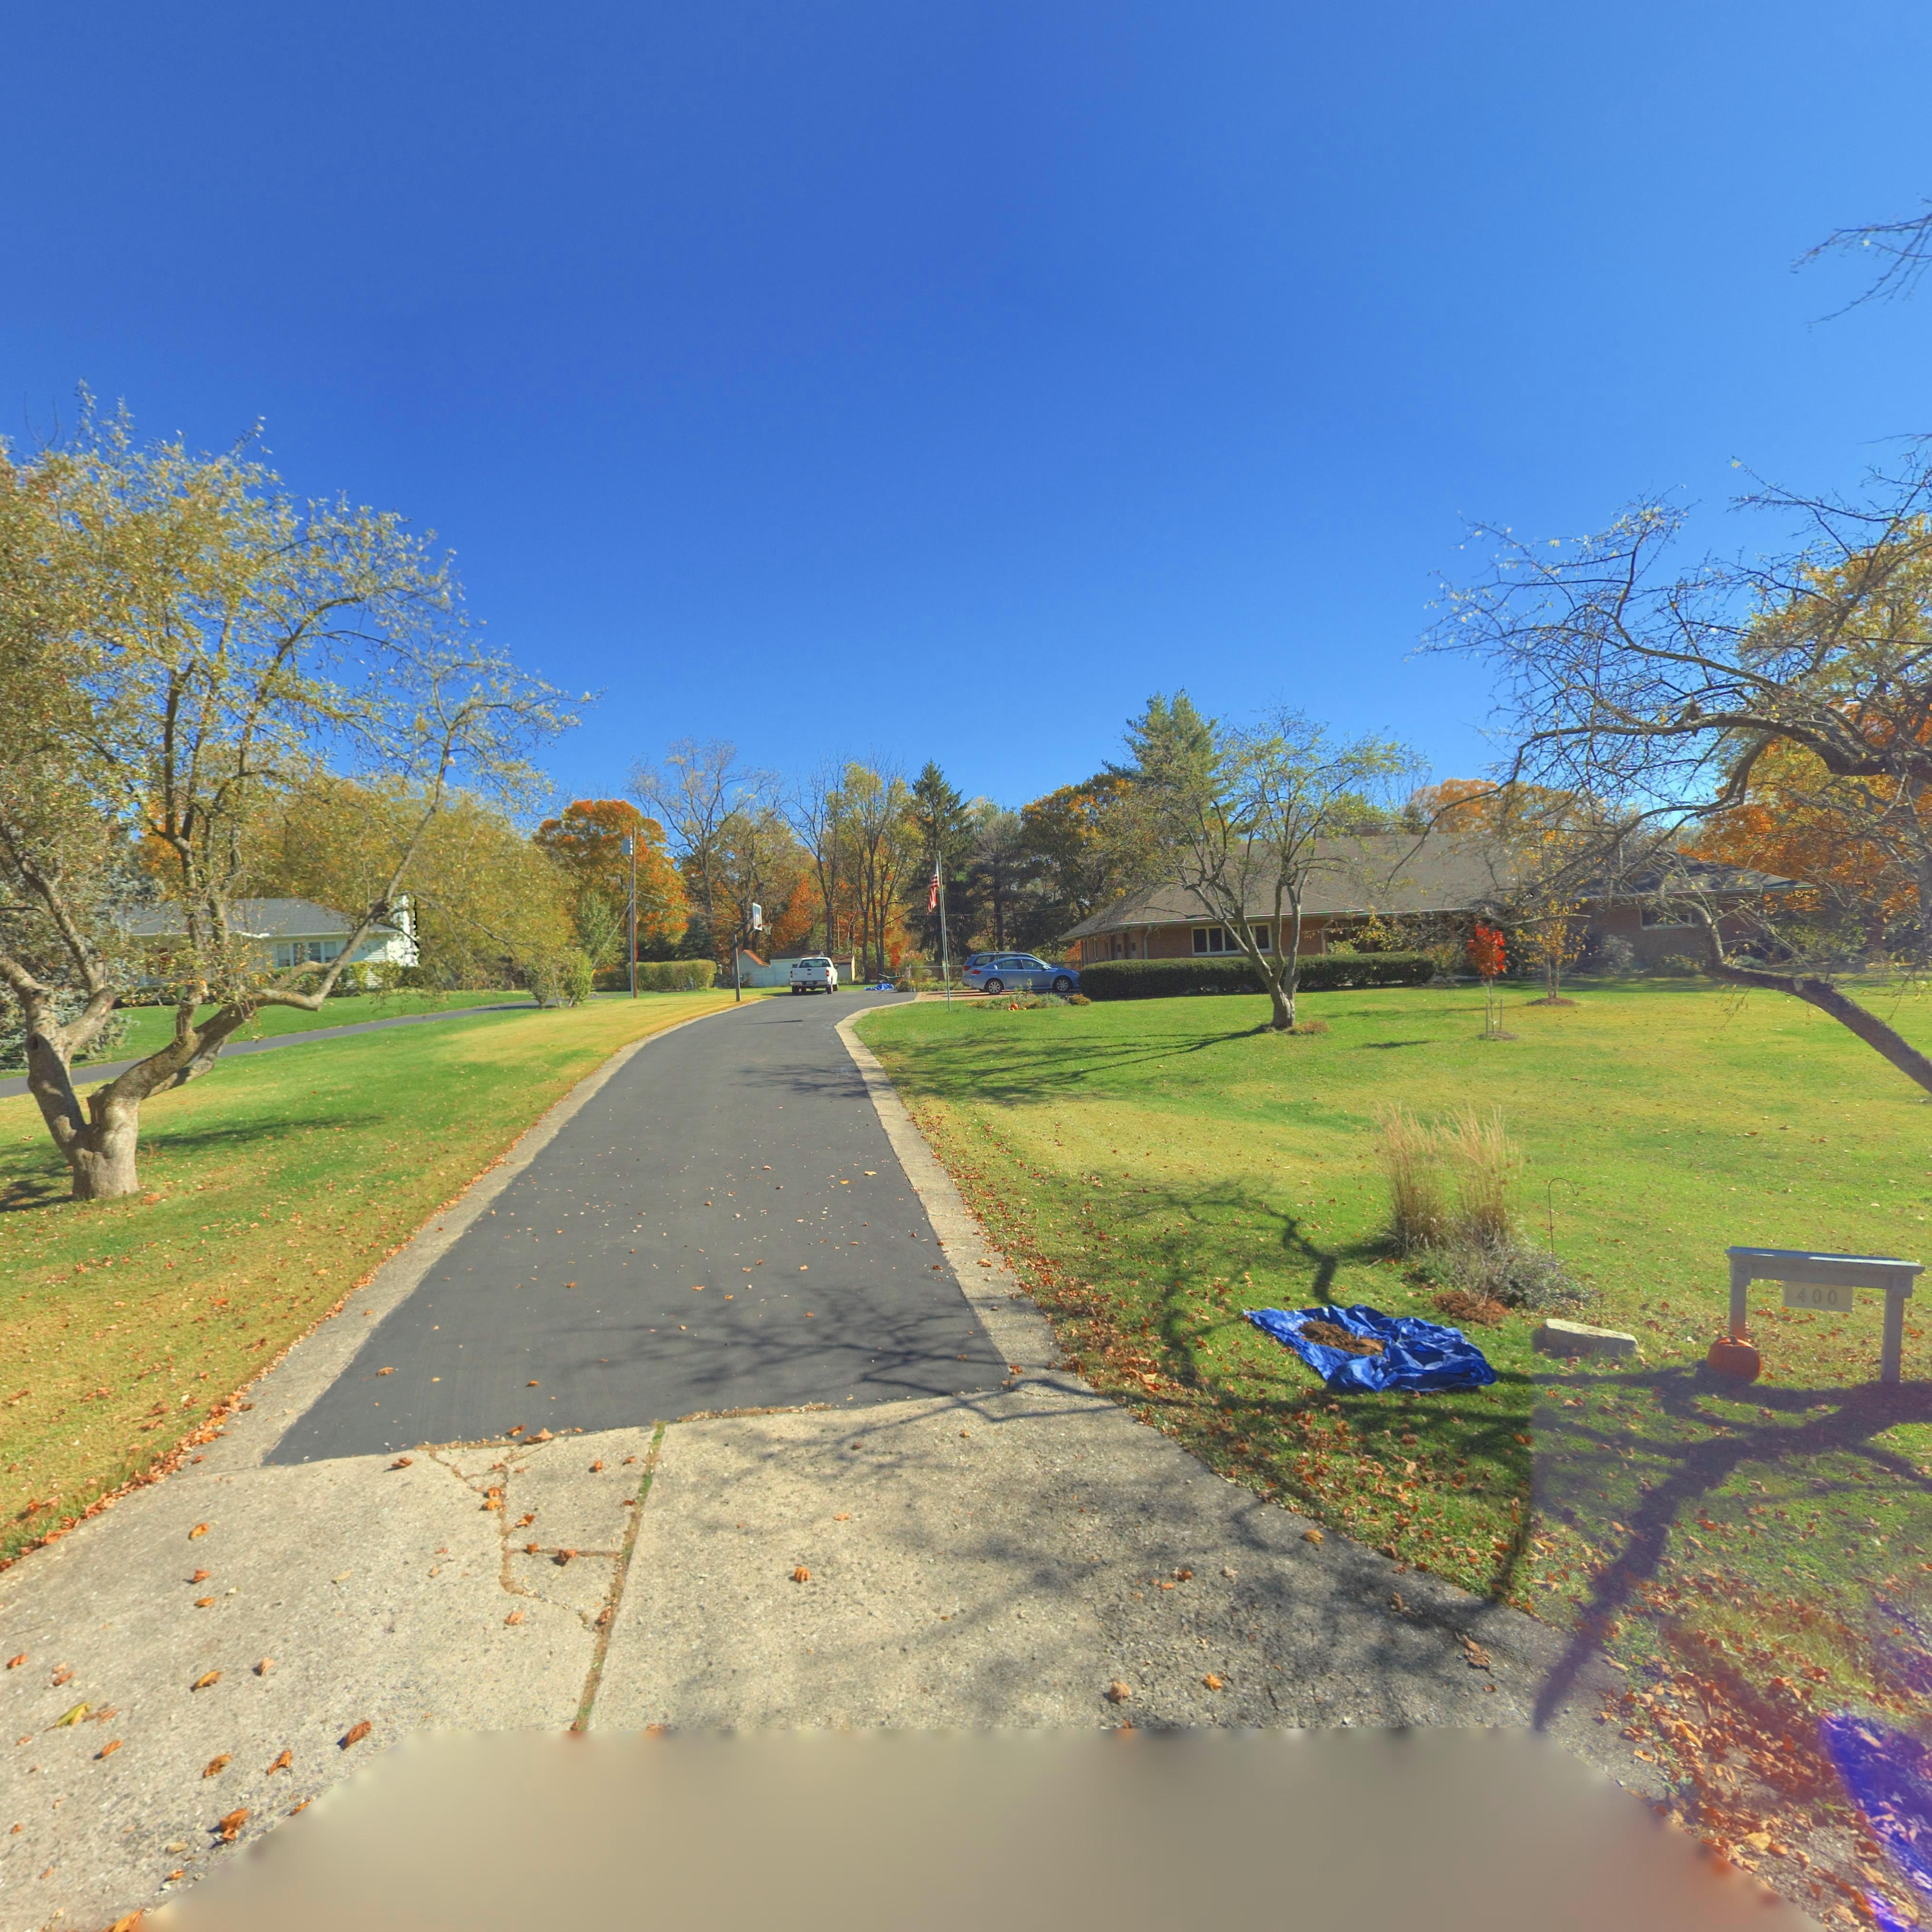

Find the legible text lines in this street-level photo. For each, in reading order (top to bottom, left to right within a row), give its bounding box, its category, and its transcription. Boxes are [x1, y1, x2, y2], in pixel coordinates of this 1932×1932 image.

[1796, 1286, 1838, 1306] StreetNumber: 400